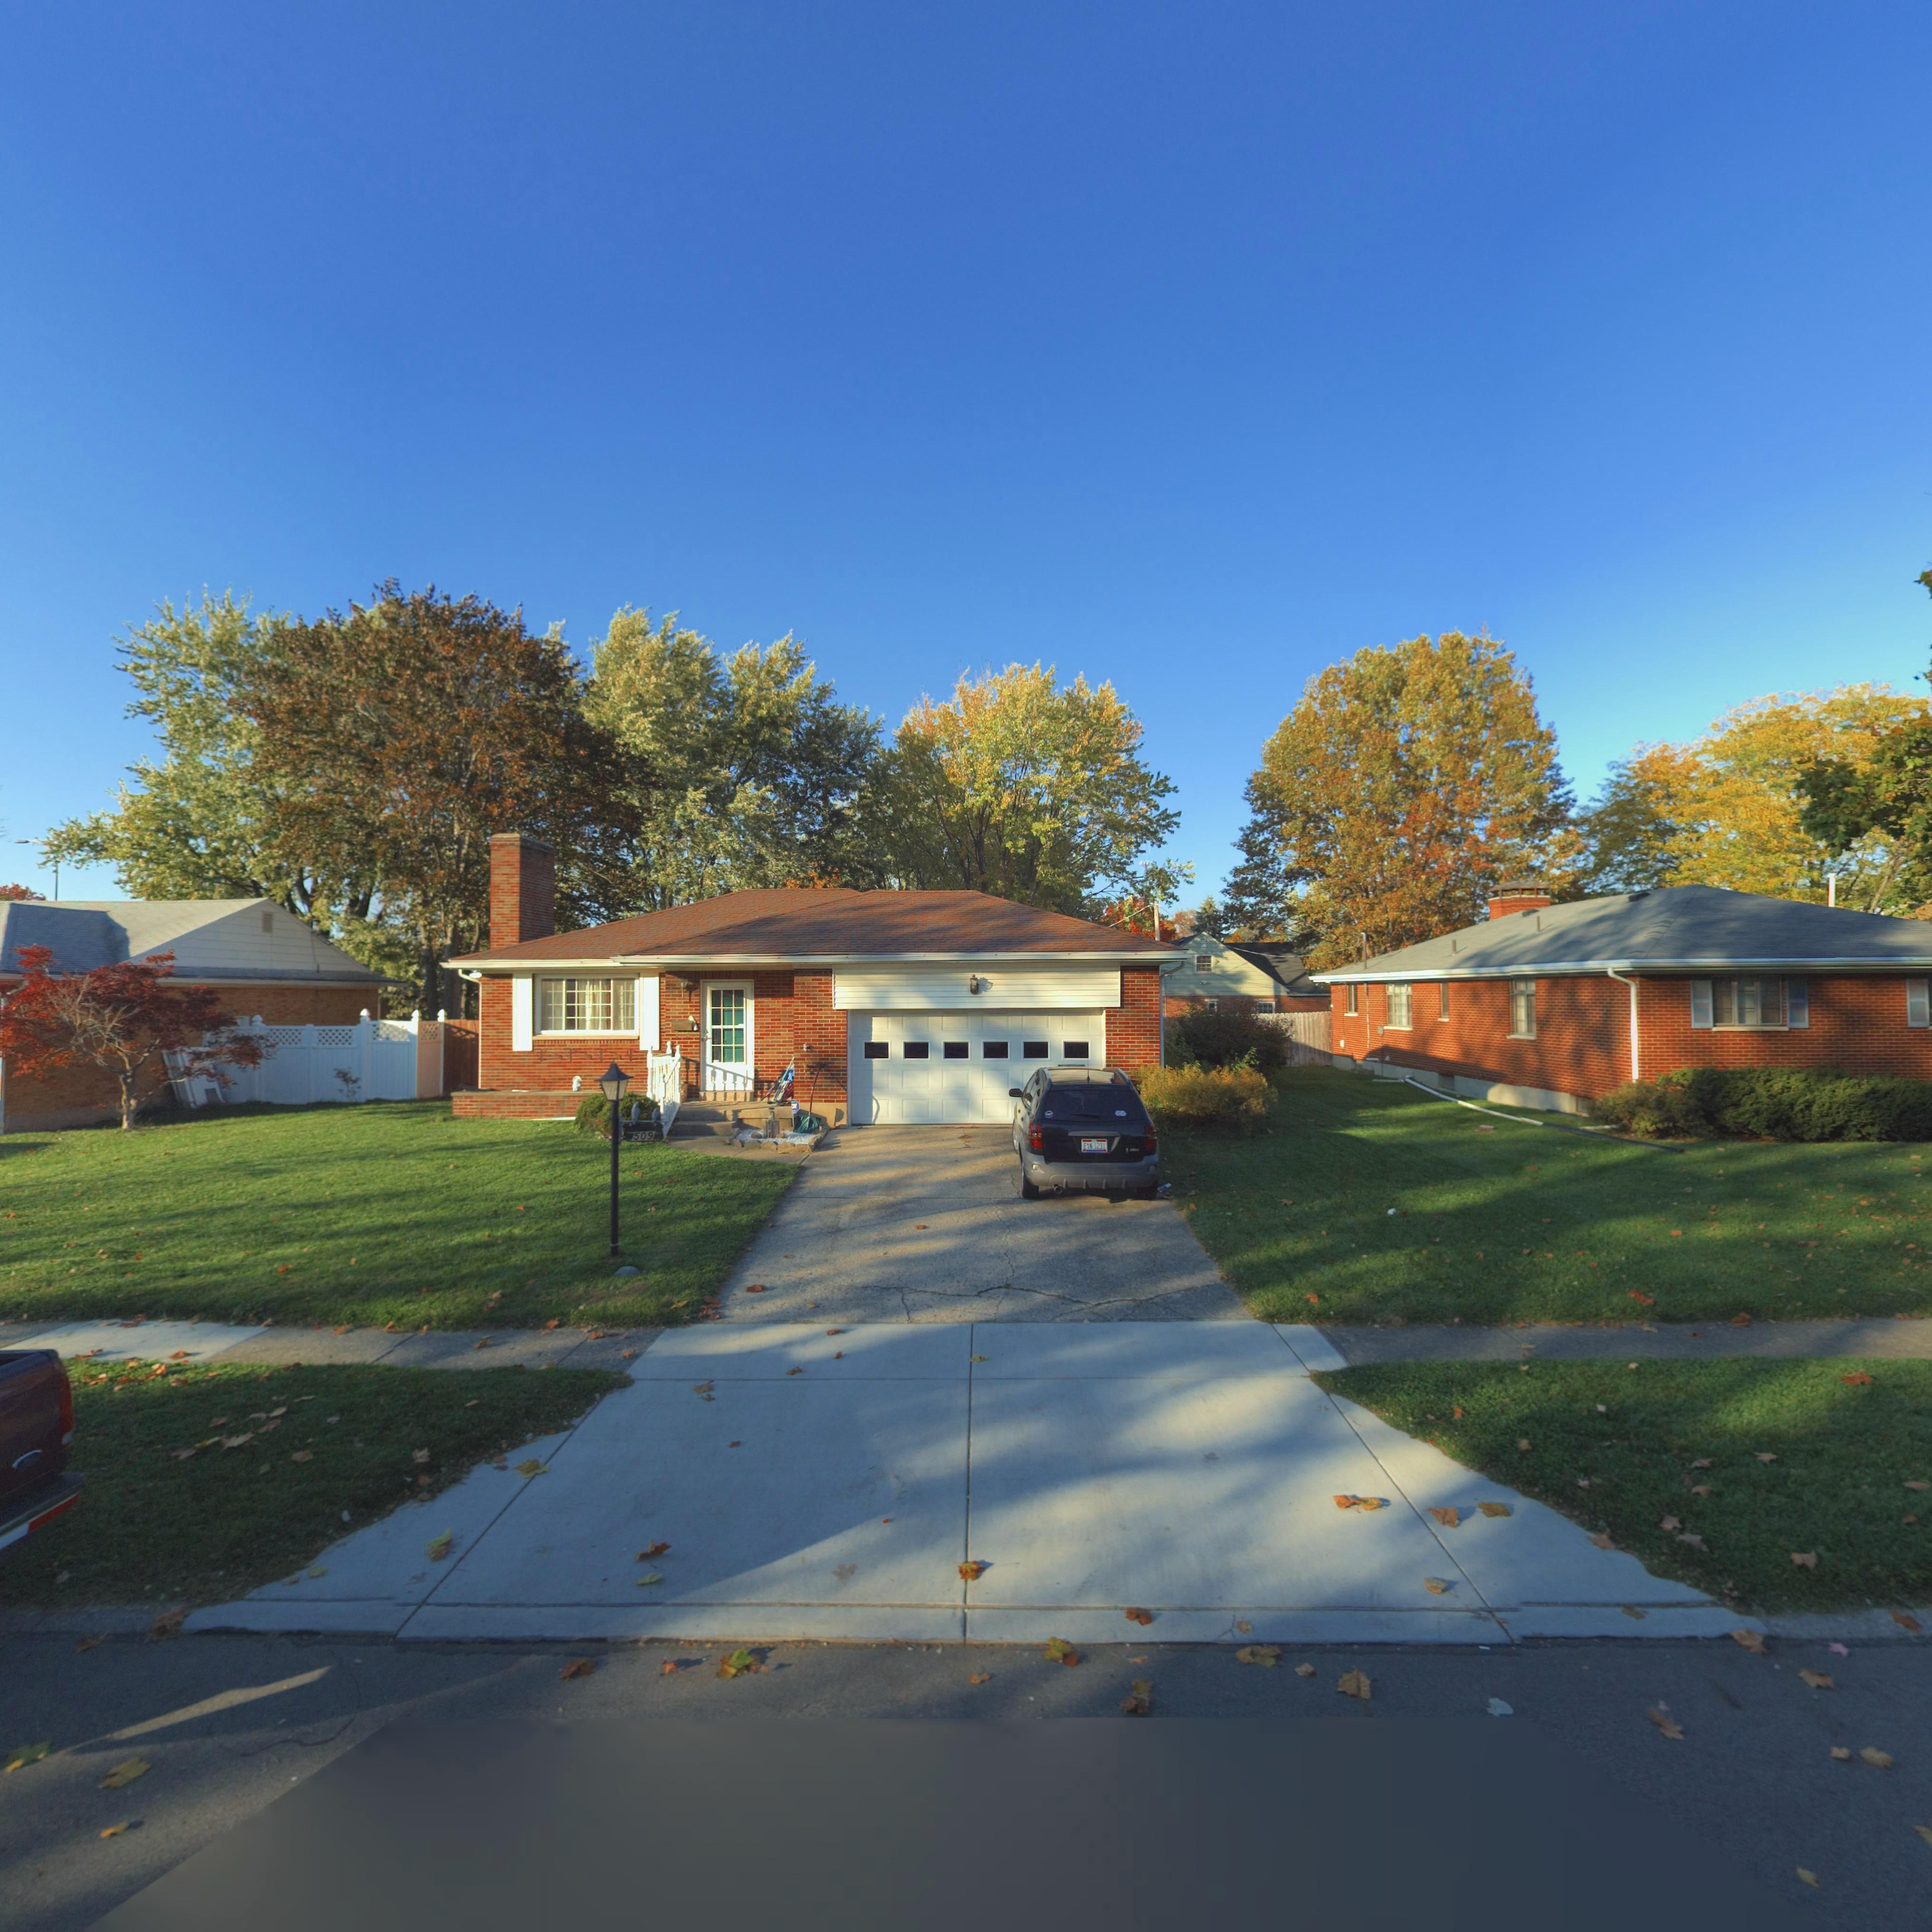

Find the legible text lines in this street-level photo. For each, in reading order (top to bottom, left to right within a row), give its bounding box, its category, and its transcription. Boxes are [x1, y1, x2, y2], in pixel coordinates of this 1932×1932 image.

[632, 1131, 654, 1141] StreetNumber: 509